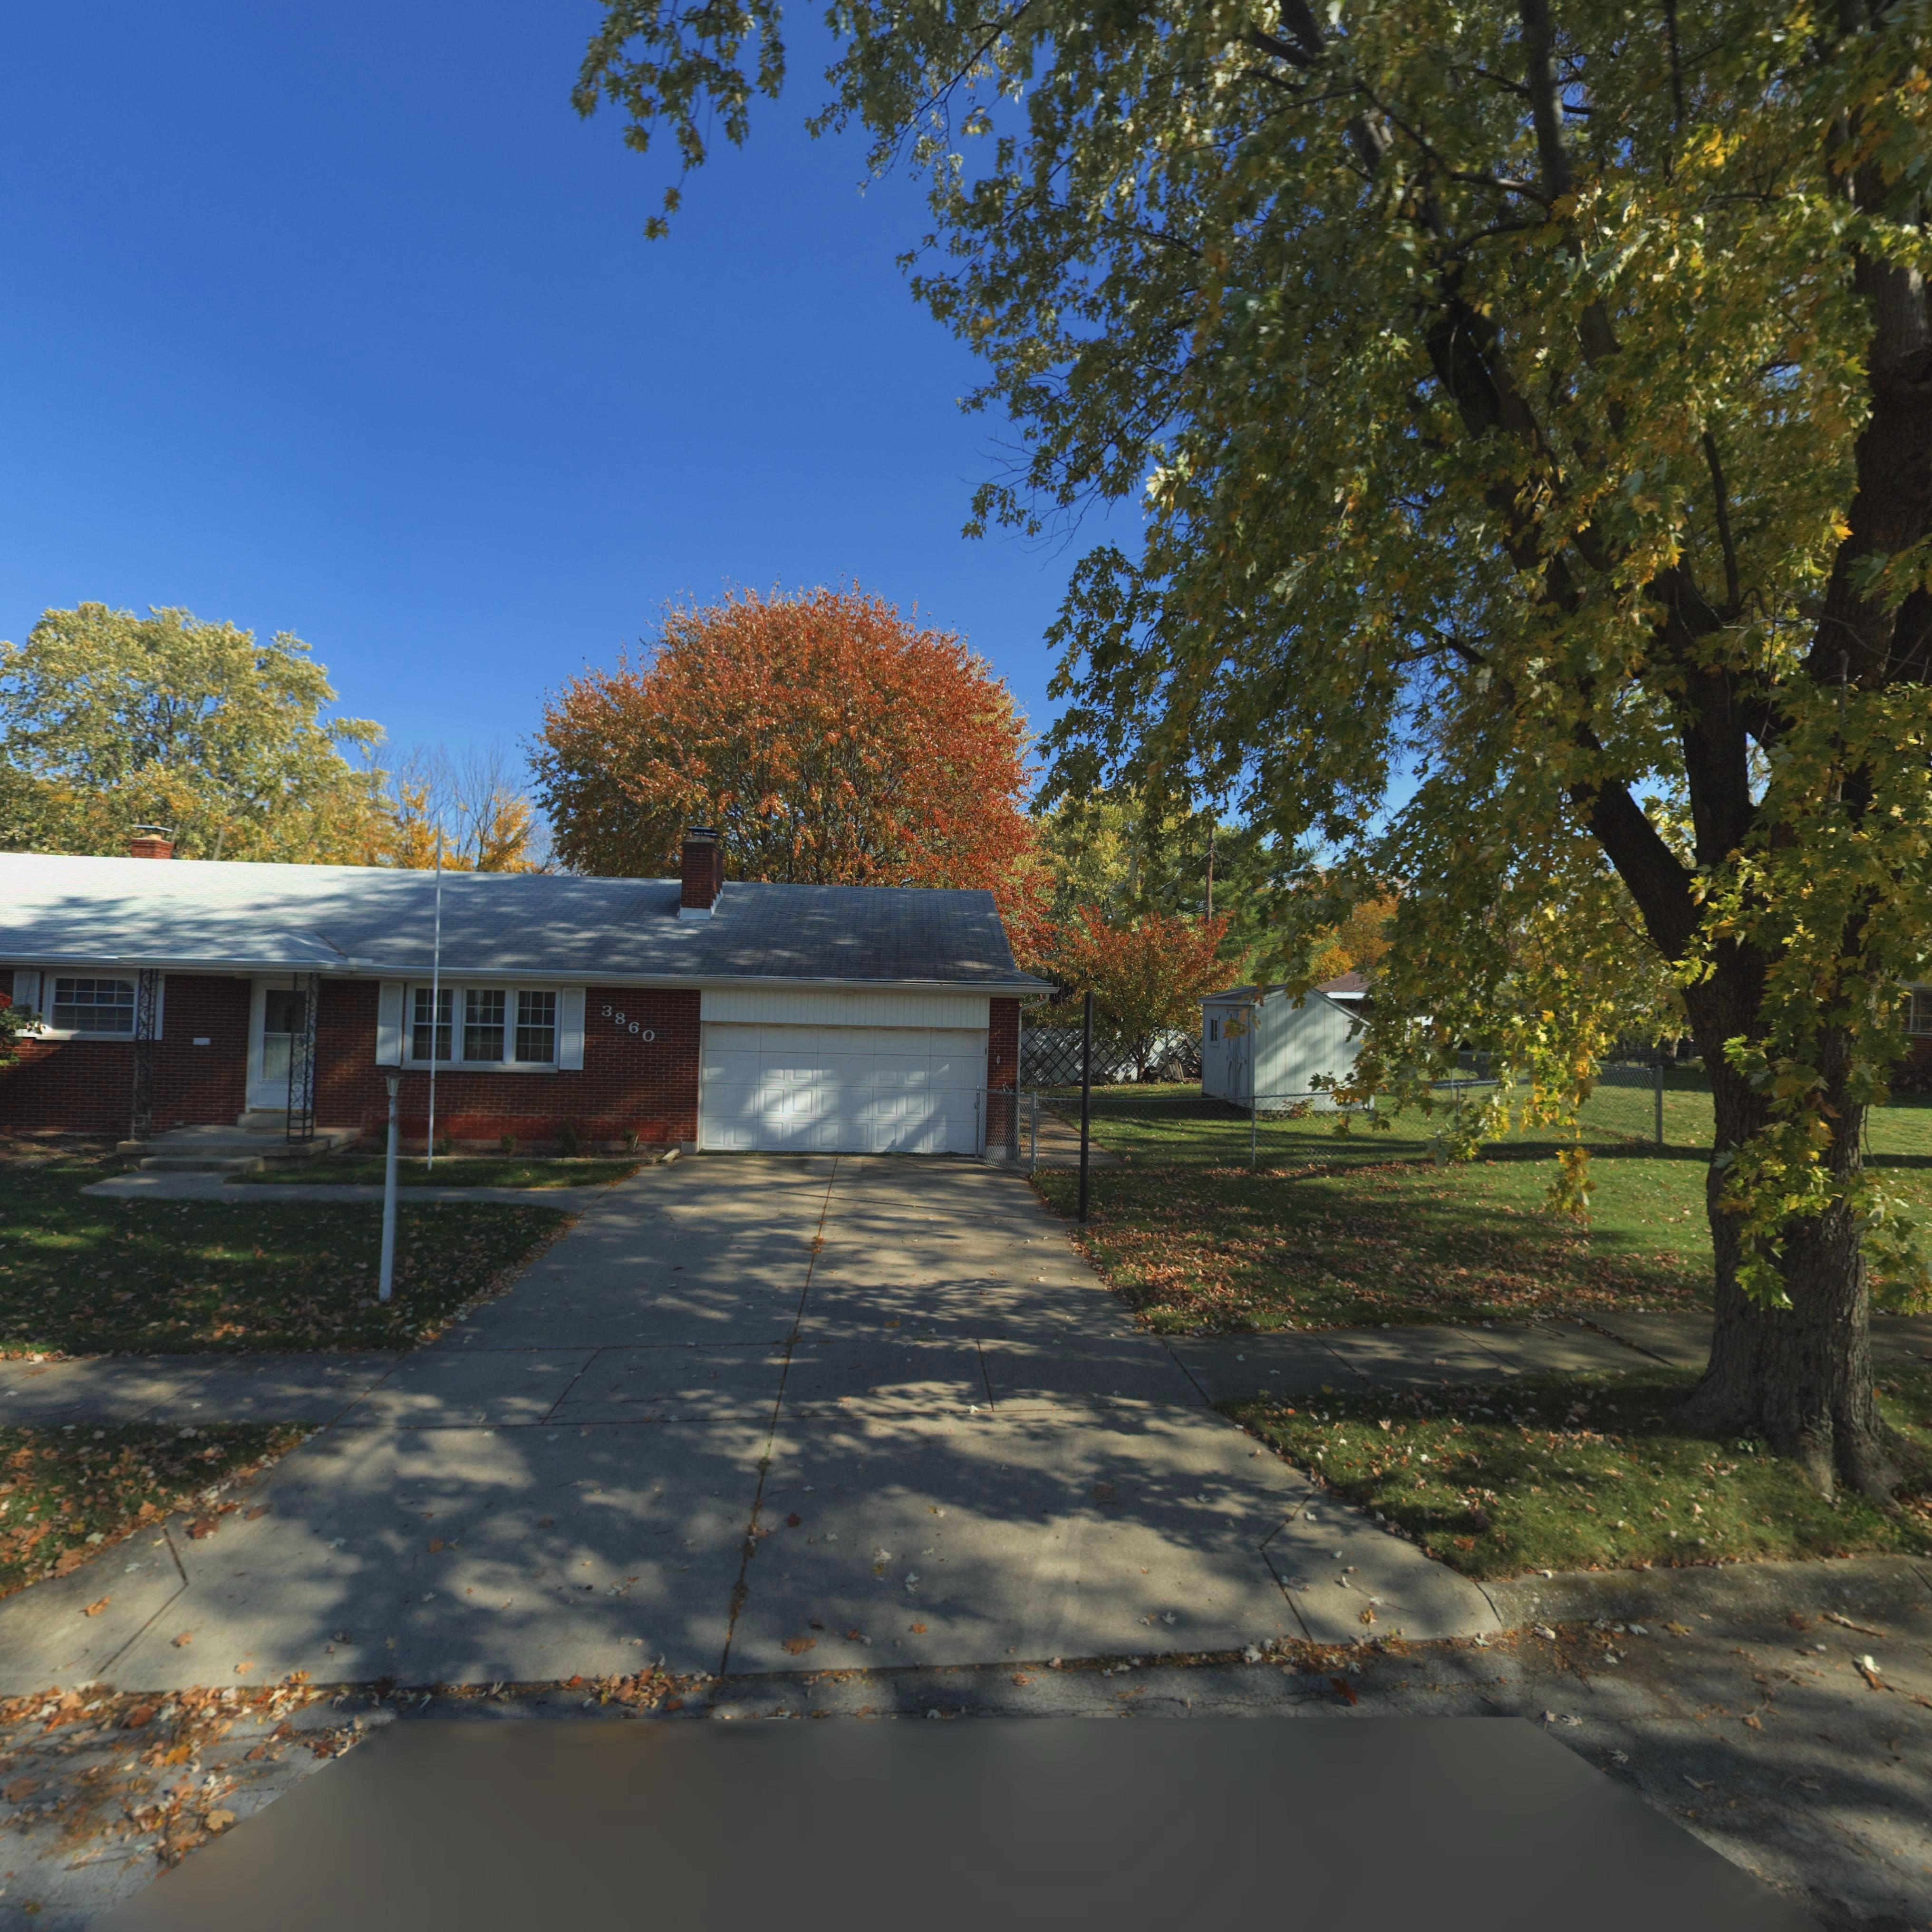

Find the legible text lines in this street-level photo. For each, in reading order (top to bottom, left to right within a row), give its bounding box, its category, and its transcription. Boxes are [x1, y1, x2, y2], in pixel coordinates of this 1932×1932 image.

[601, 1004, 656, 1043] StreetNumber: 3860